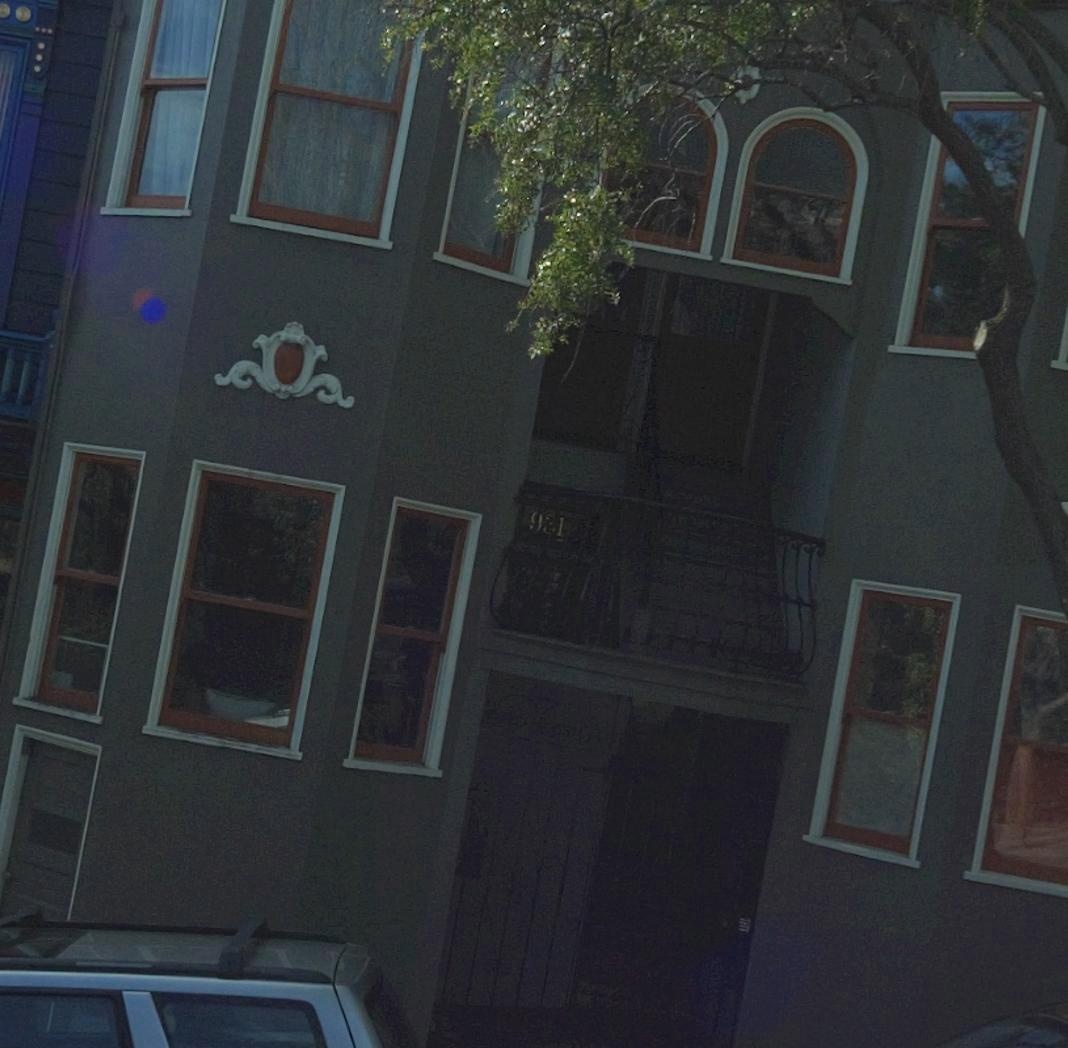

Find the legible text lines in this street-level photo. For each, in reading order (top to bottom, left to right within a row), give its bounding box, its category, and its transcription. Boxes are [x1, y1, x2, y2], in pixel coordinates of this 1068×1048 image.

[527, 511, 567, 538] StreetNumber: 931